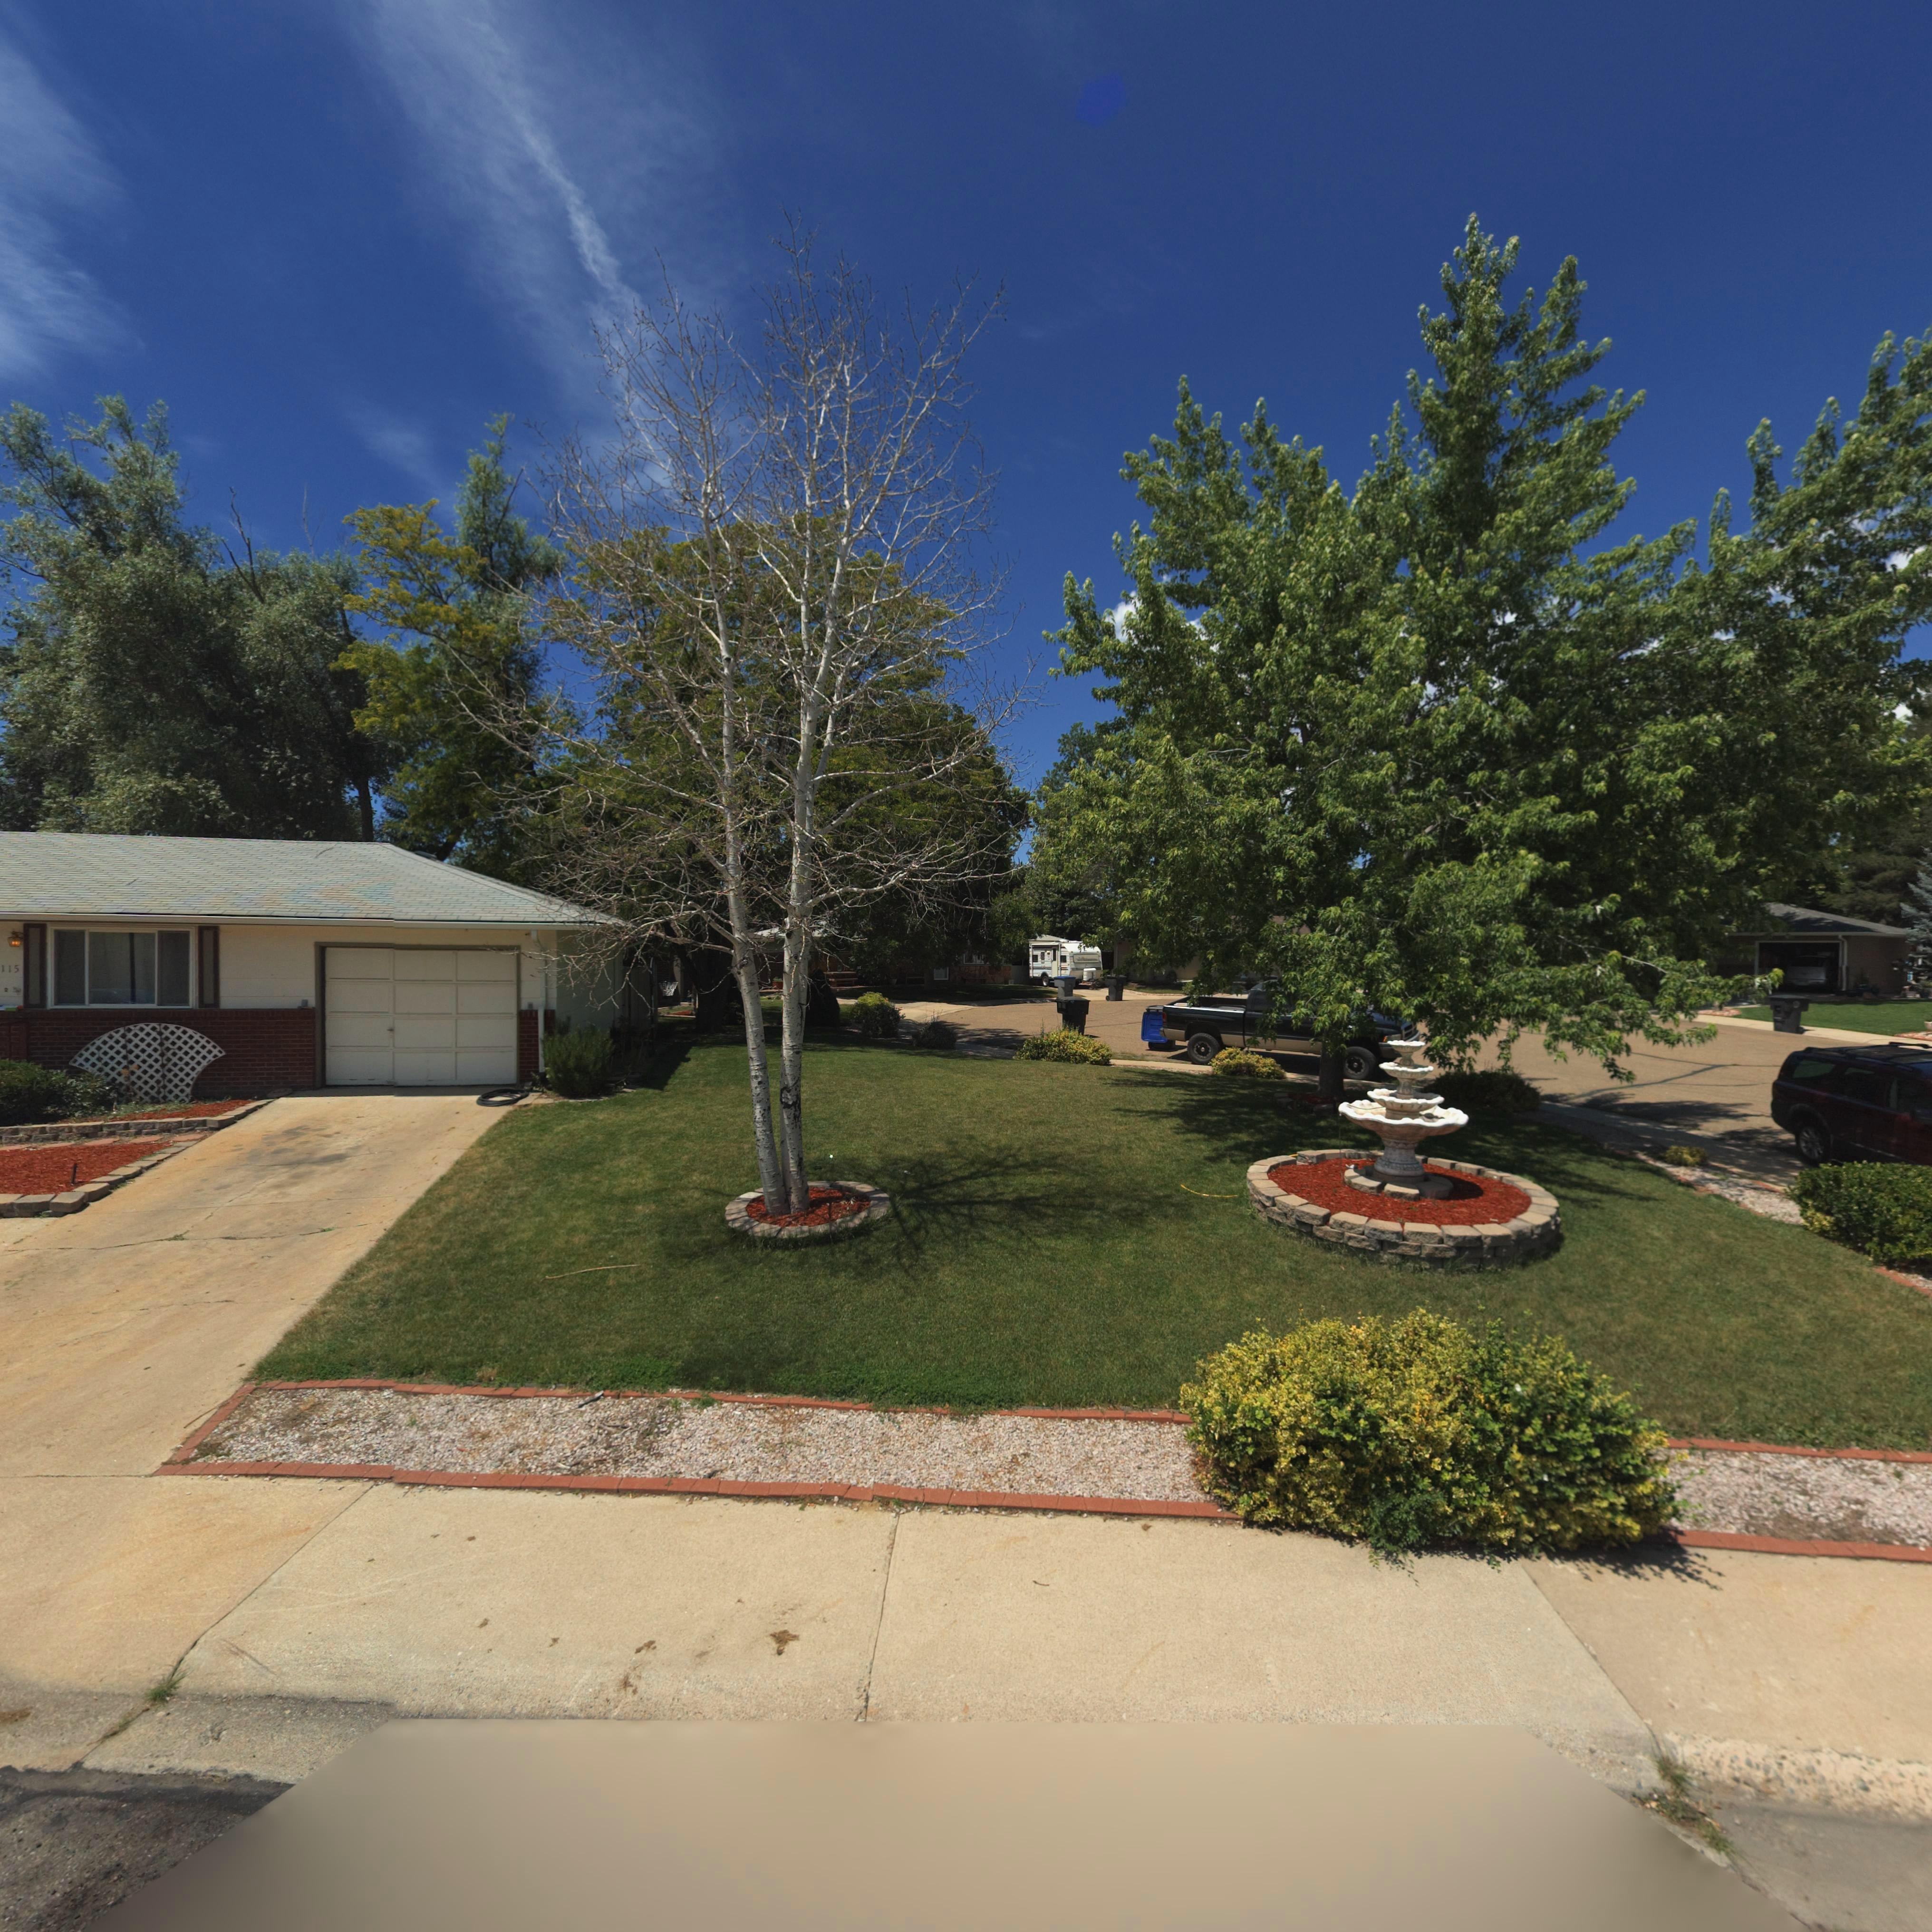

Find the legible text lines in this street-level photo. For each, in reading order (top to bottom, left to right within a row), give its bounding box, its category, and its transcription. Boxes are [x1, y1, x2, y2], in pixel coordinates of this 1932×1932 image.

[1, 965, 19, 973] StreetNumber: 115